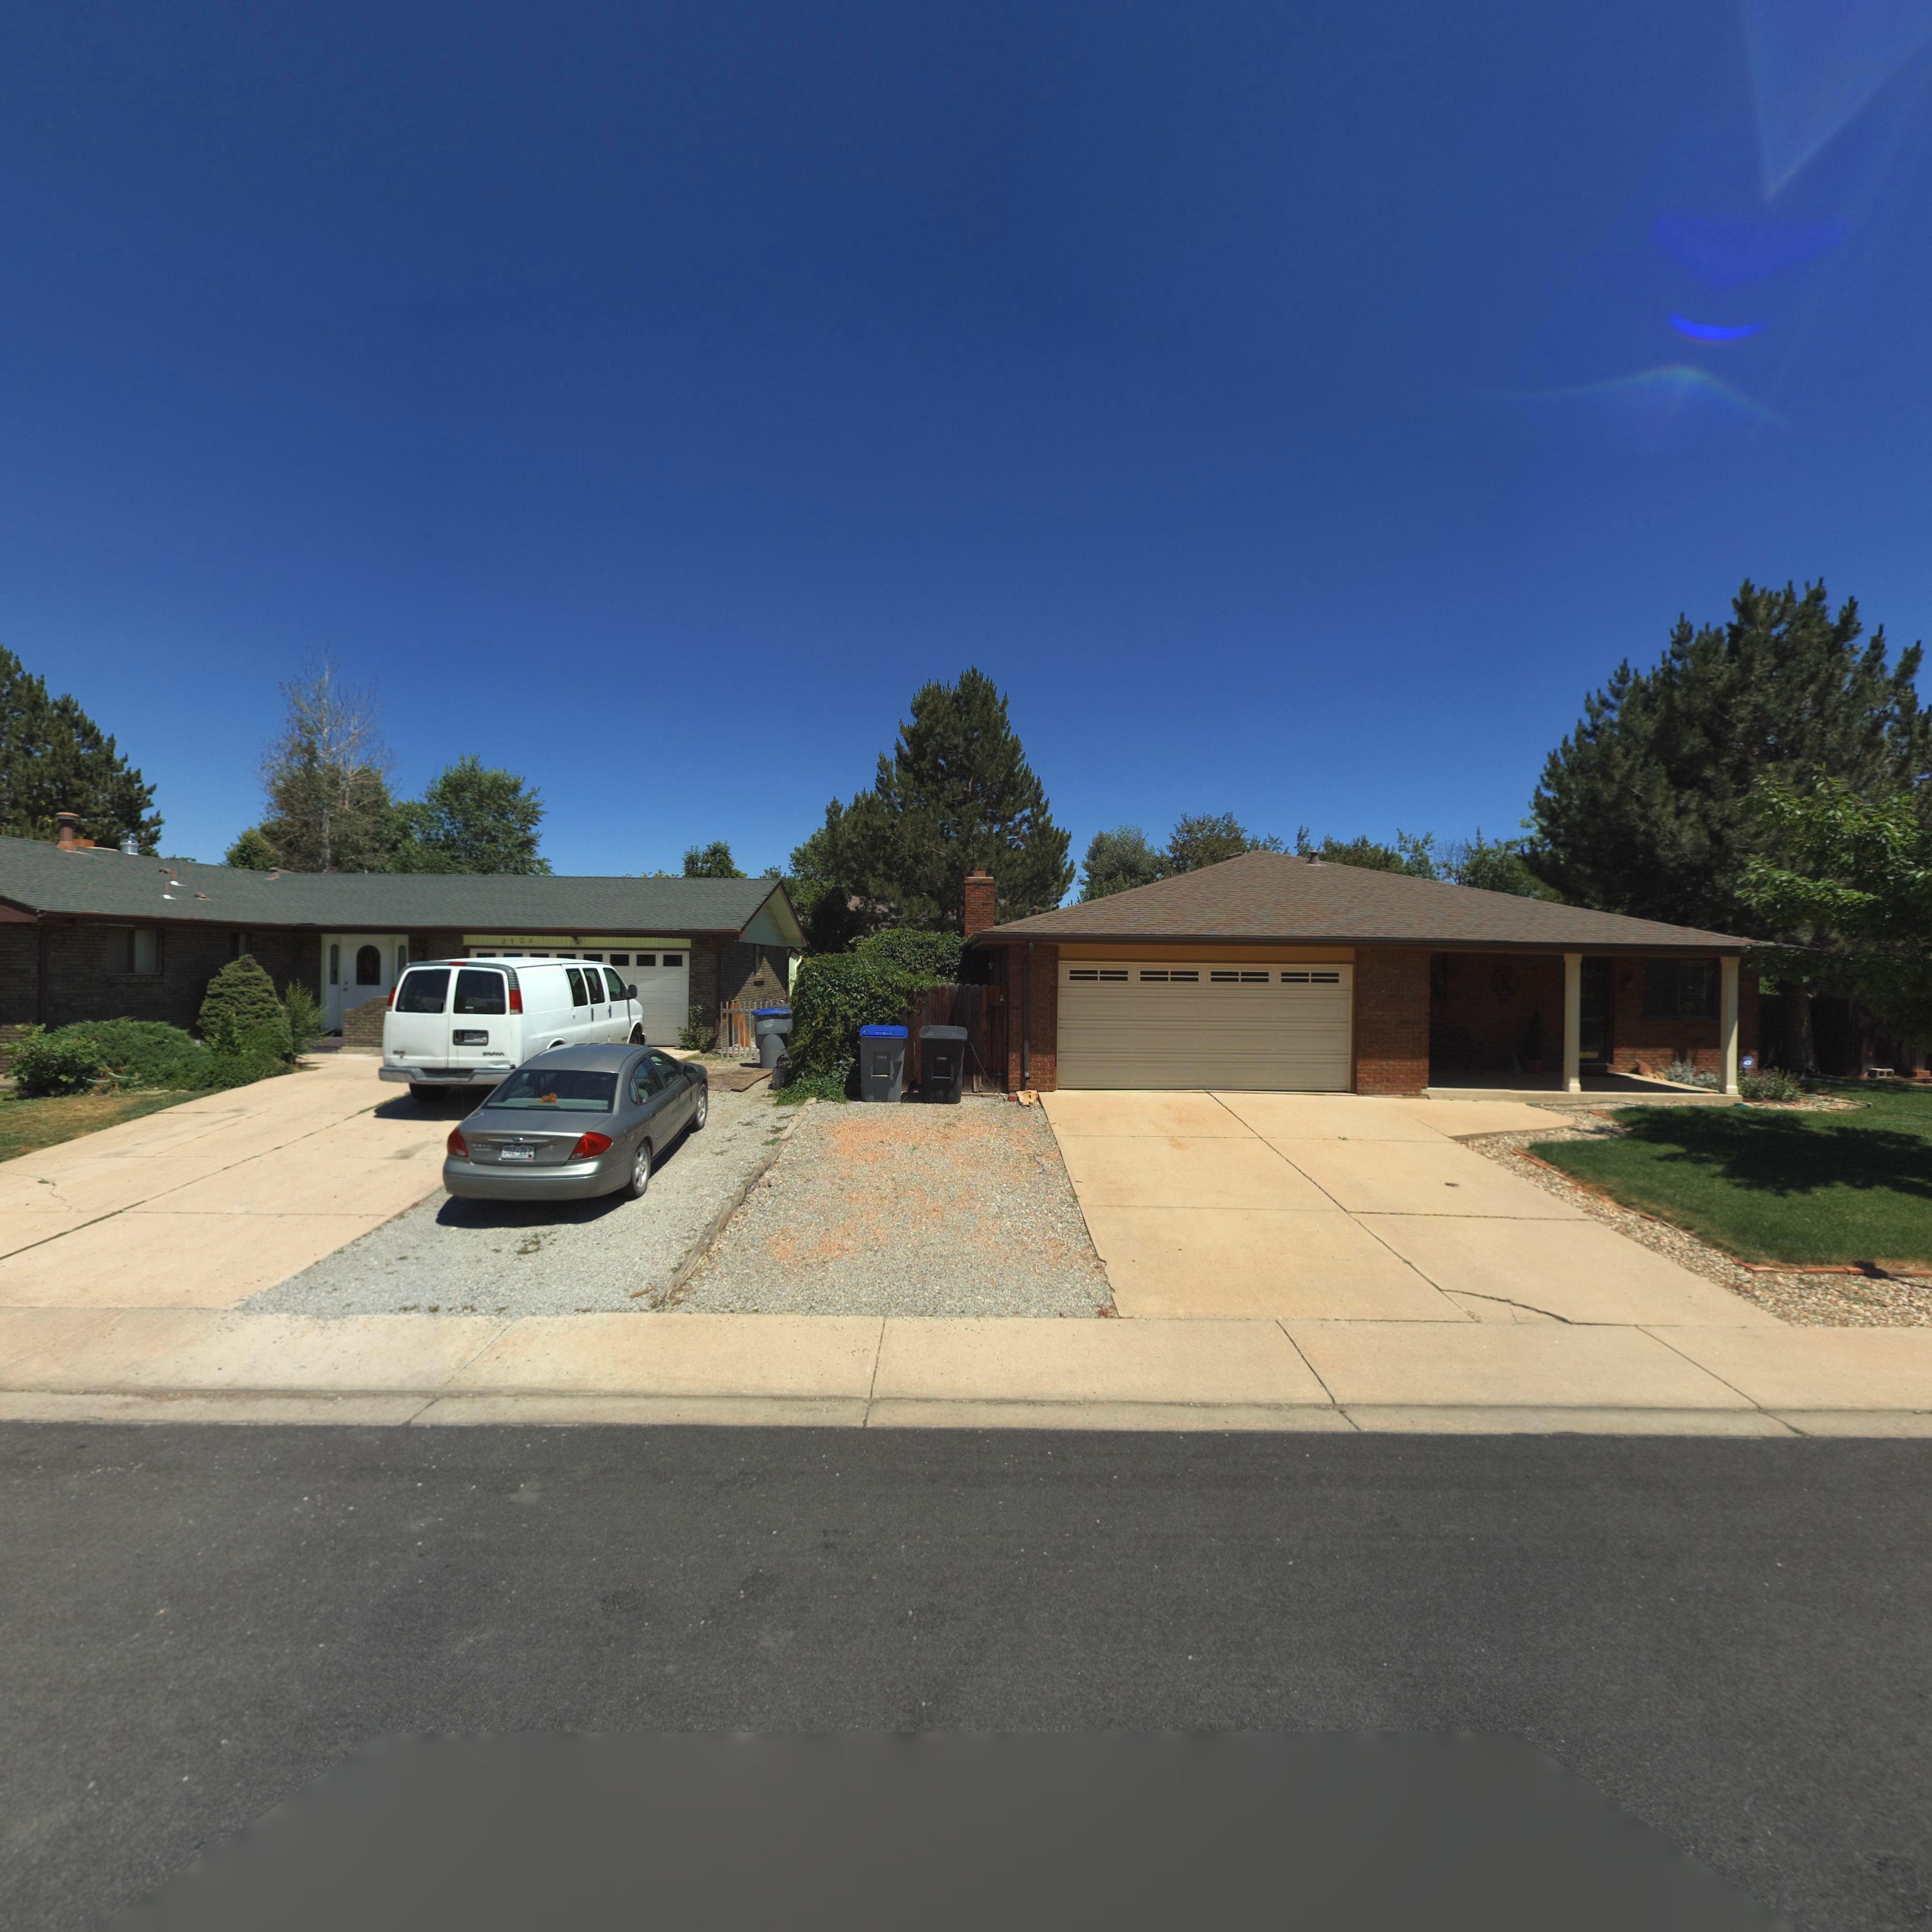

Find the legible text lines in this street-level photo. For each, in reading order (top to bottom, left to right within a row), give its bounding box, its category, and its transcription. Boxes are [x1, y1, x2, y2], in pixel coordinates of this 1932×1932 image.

[501, 937, 533, 945] StreetNumber: 2126
[1372, 982, 1418, 995] StreetNumber: 2*18